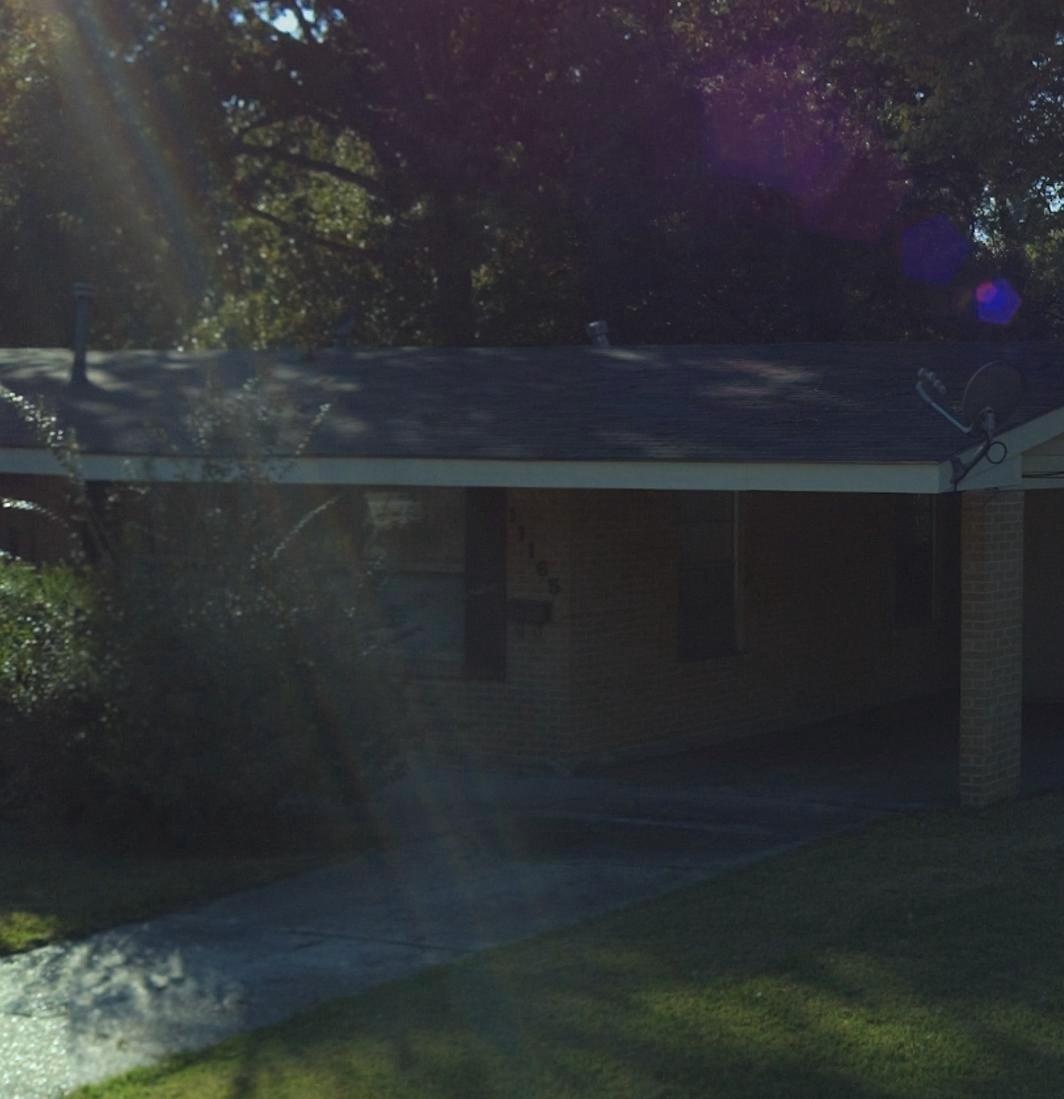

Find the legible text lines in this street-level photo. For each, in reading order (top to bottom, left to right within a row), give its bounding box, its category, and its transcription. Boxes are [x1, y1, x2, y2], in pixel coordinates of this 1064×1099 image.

[506, 506, 562, 598] StreetNumber: 11165